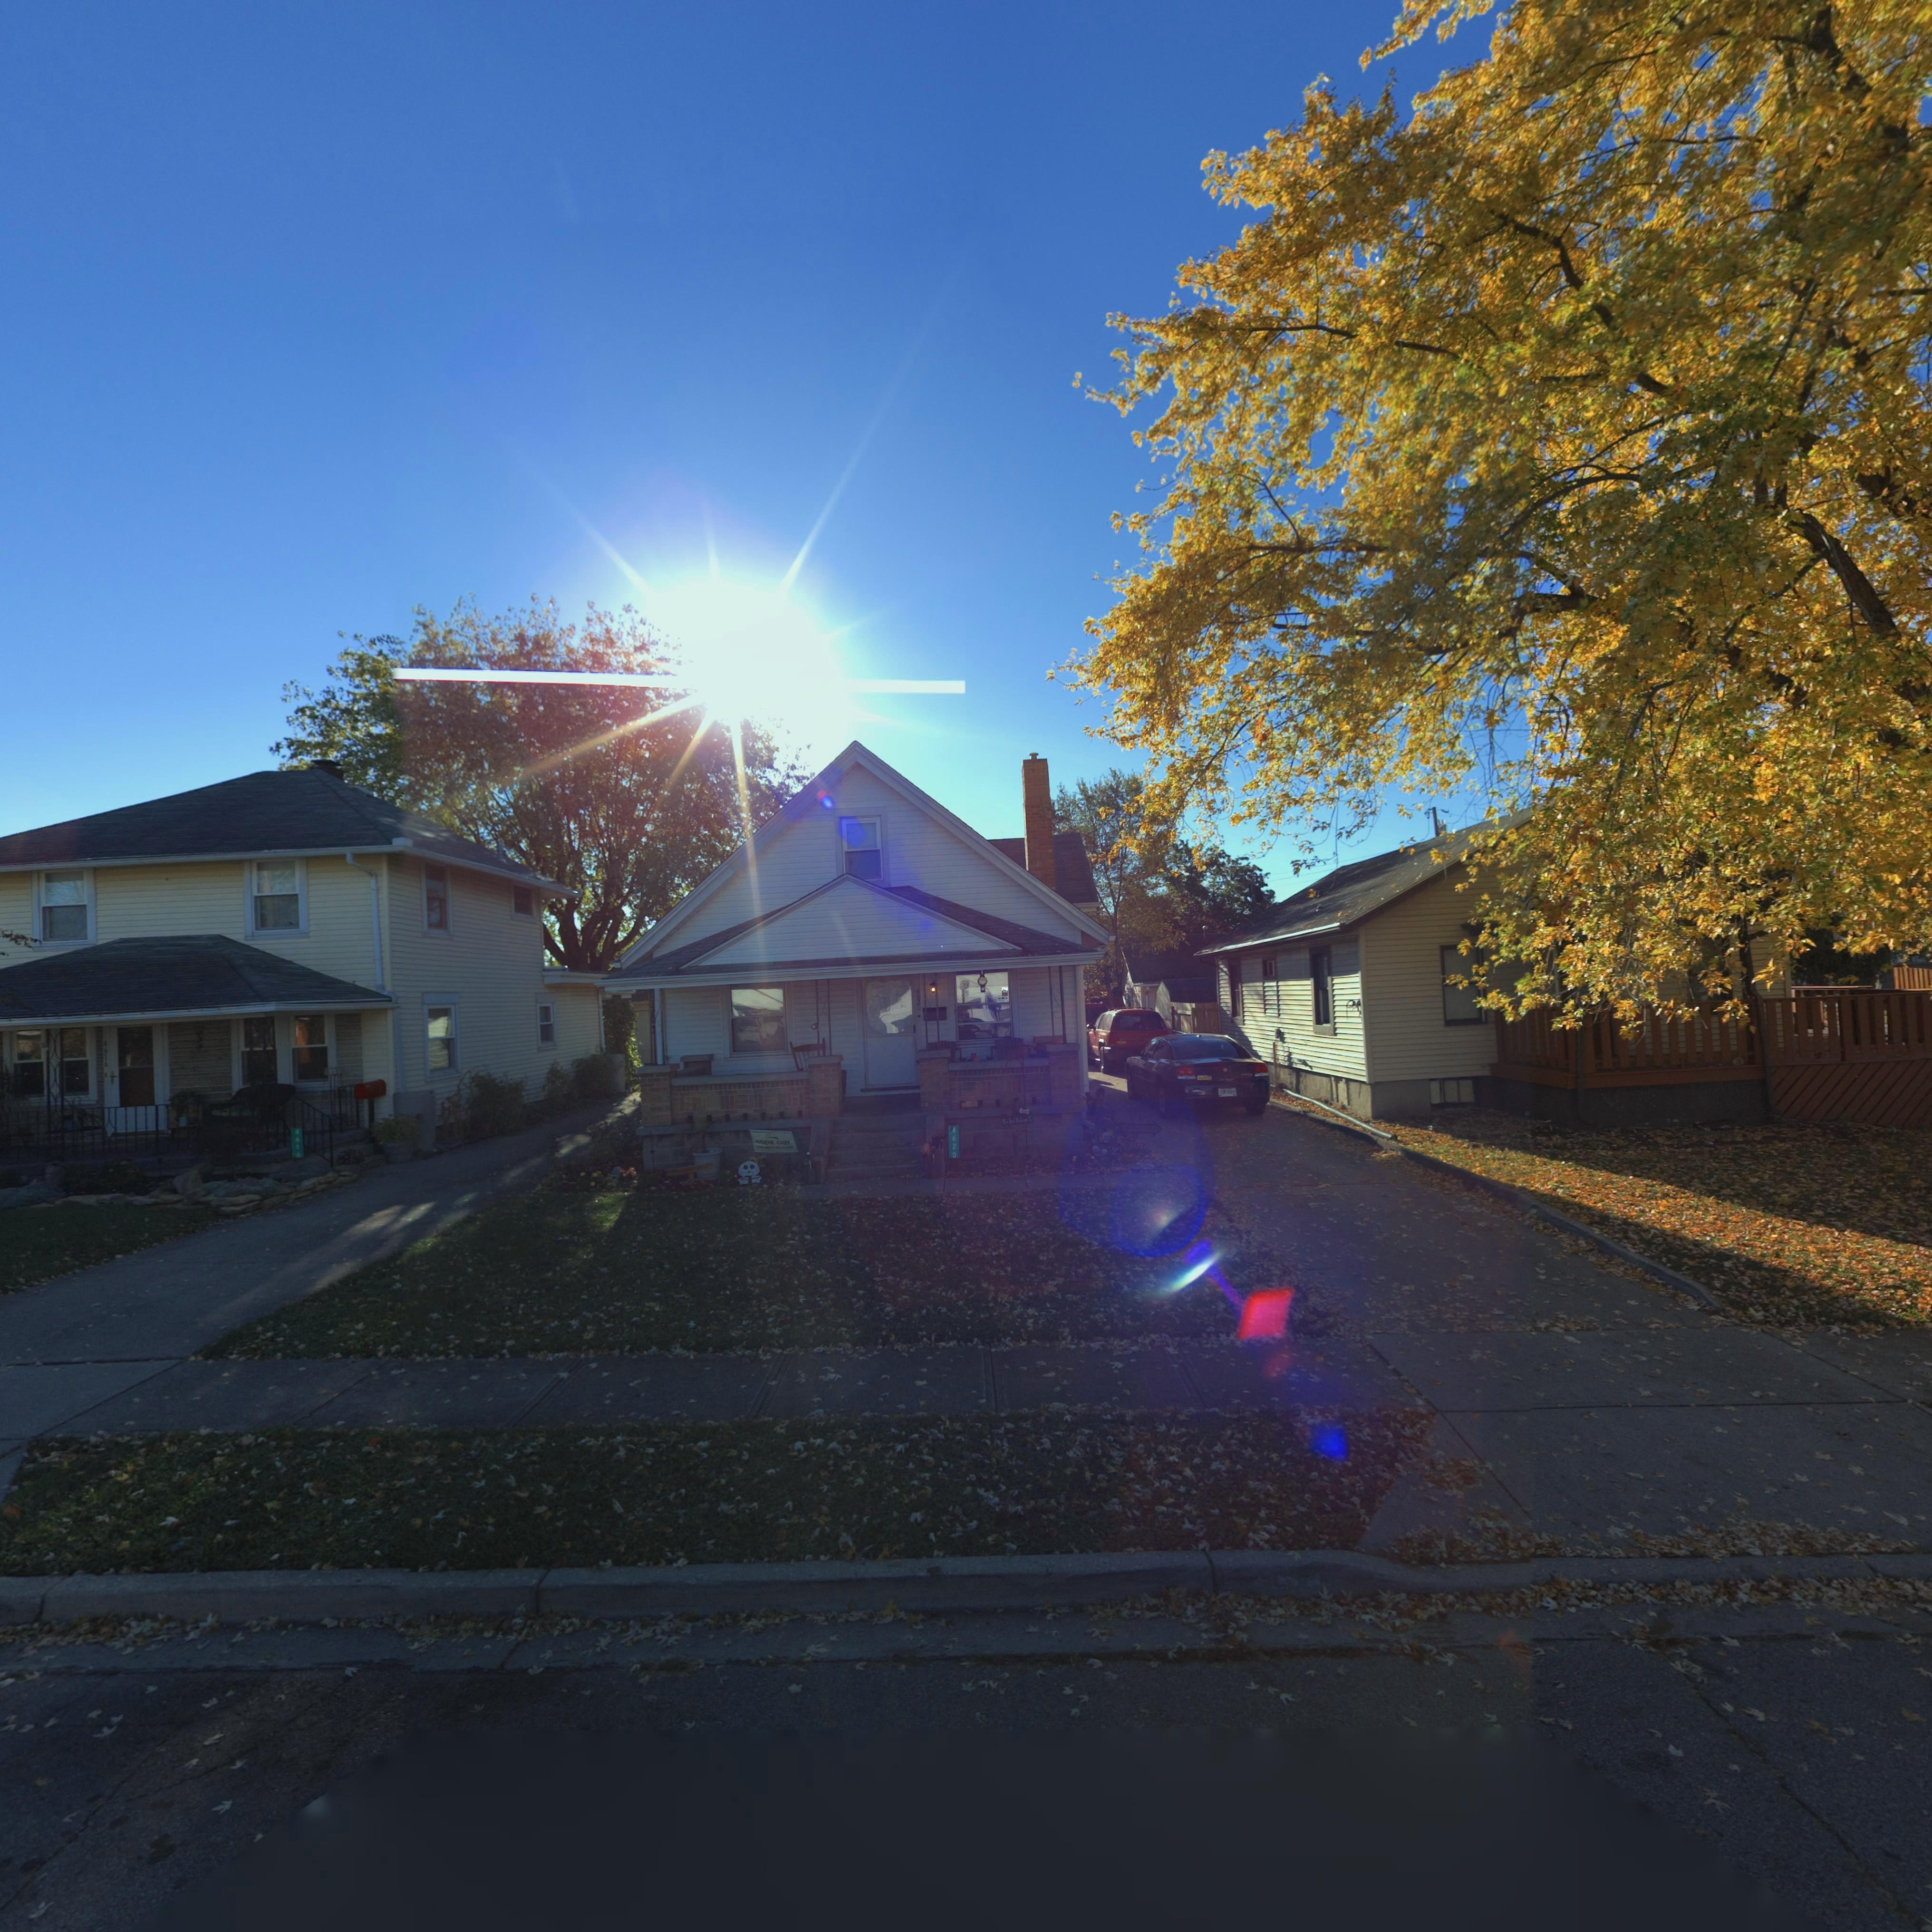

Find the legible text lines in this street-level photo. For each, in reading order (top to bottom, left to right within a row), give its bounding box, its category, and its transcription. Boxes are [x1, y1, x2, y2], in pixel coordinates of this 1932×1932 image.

[915, 987, 922, 1012] StreetNumber: 4620
[101, 1038, 109, 1068] StreetNumber: 4616
[293, 1127, 302, 1160] StreetNumber: 4616
[951, 1126, 957, 1159] StreetNumber: 4620